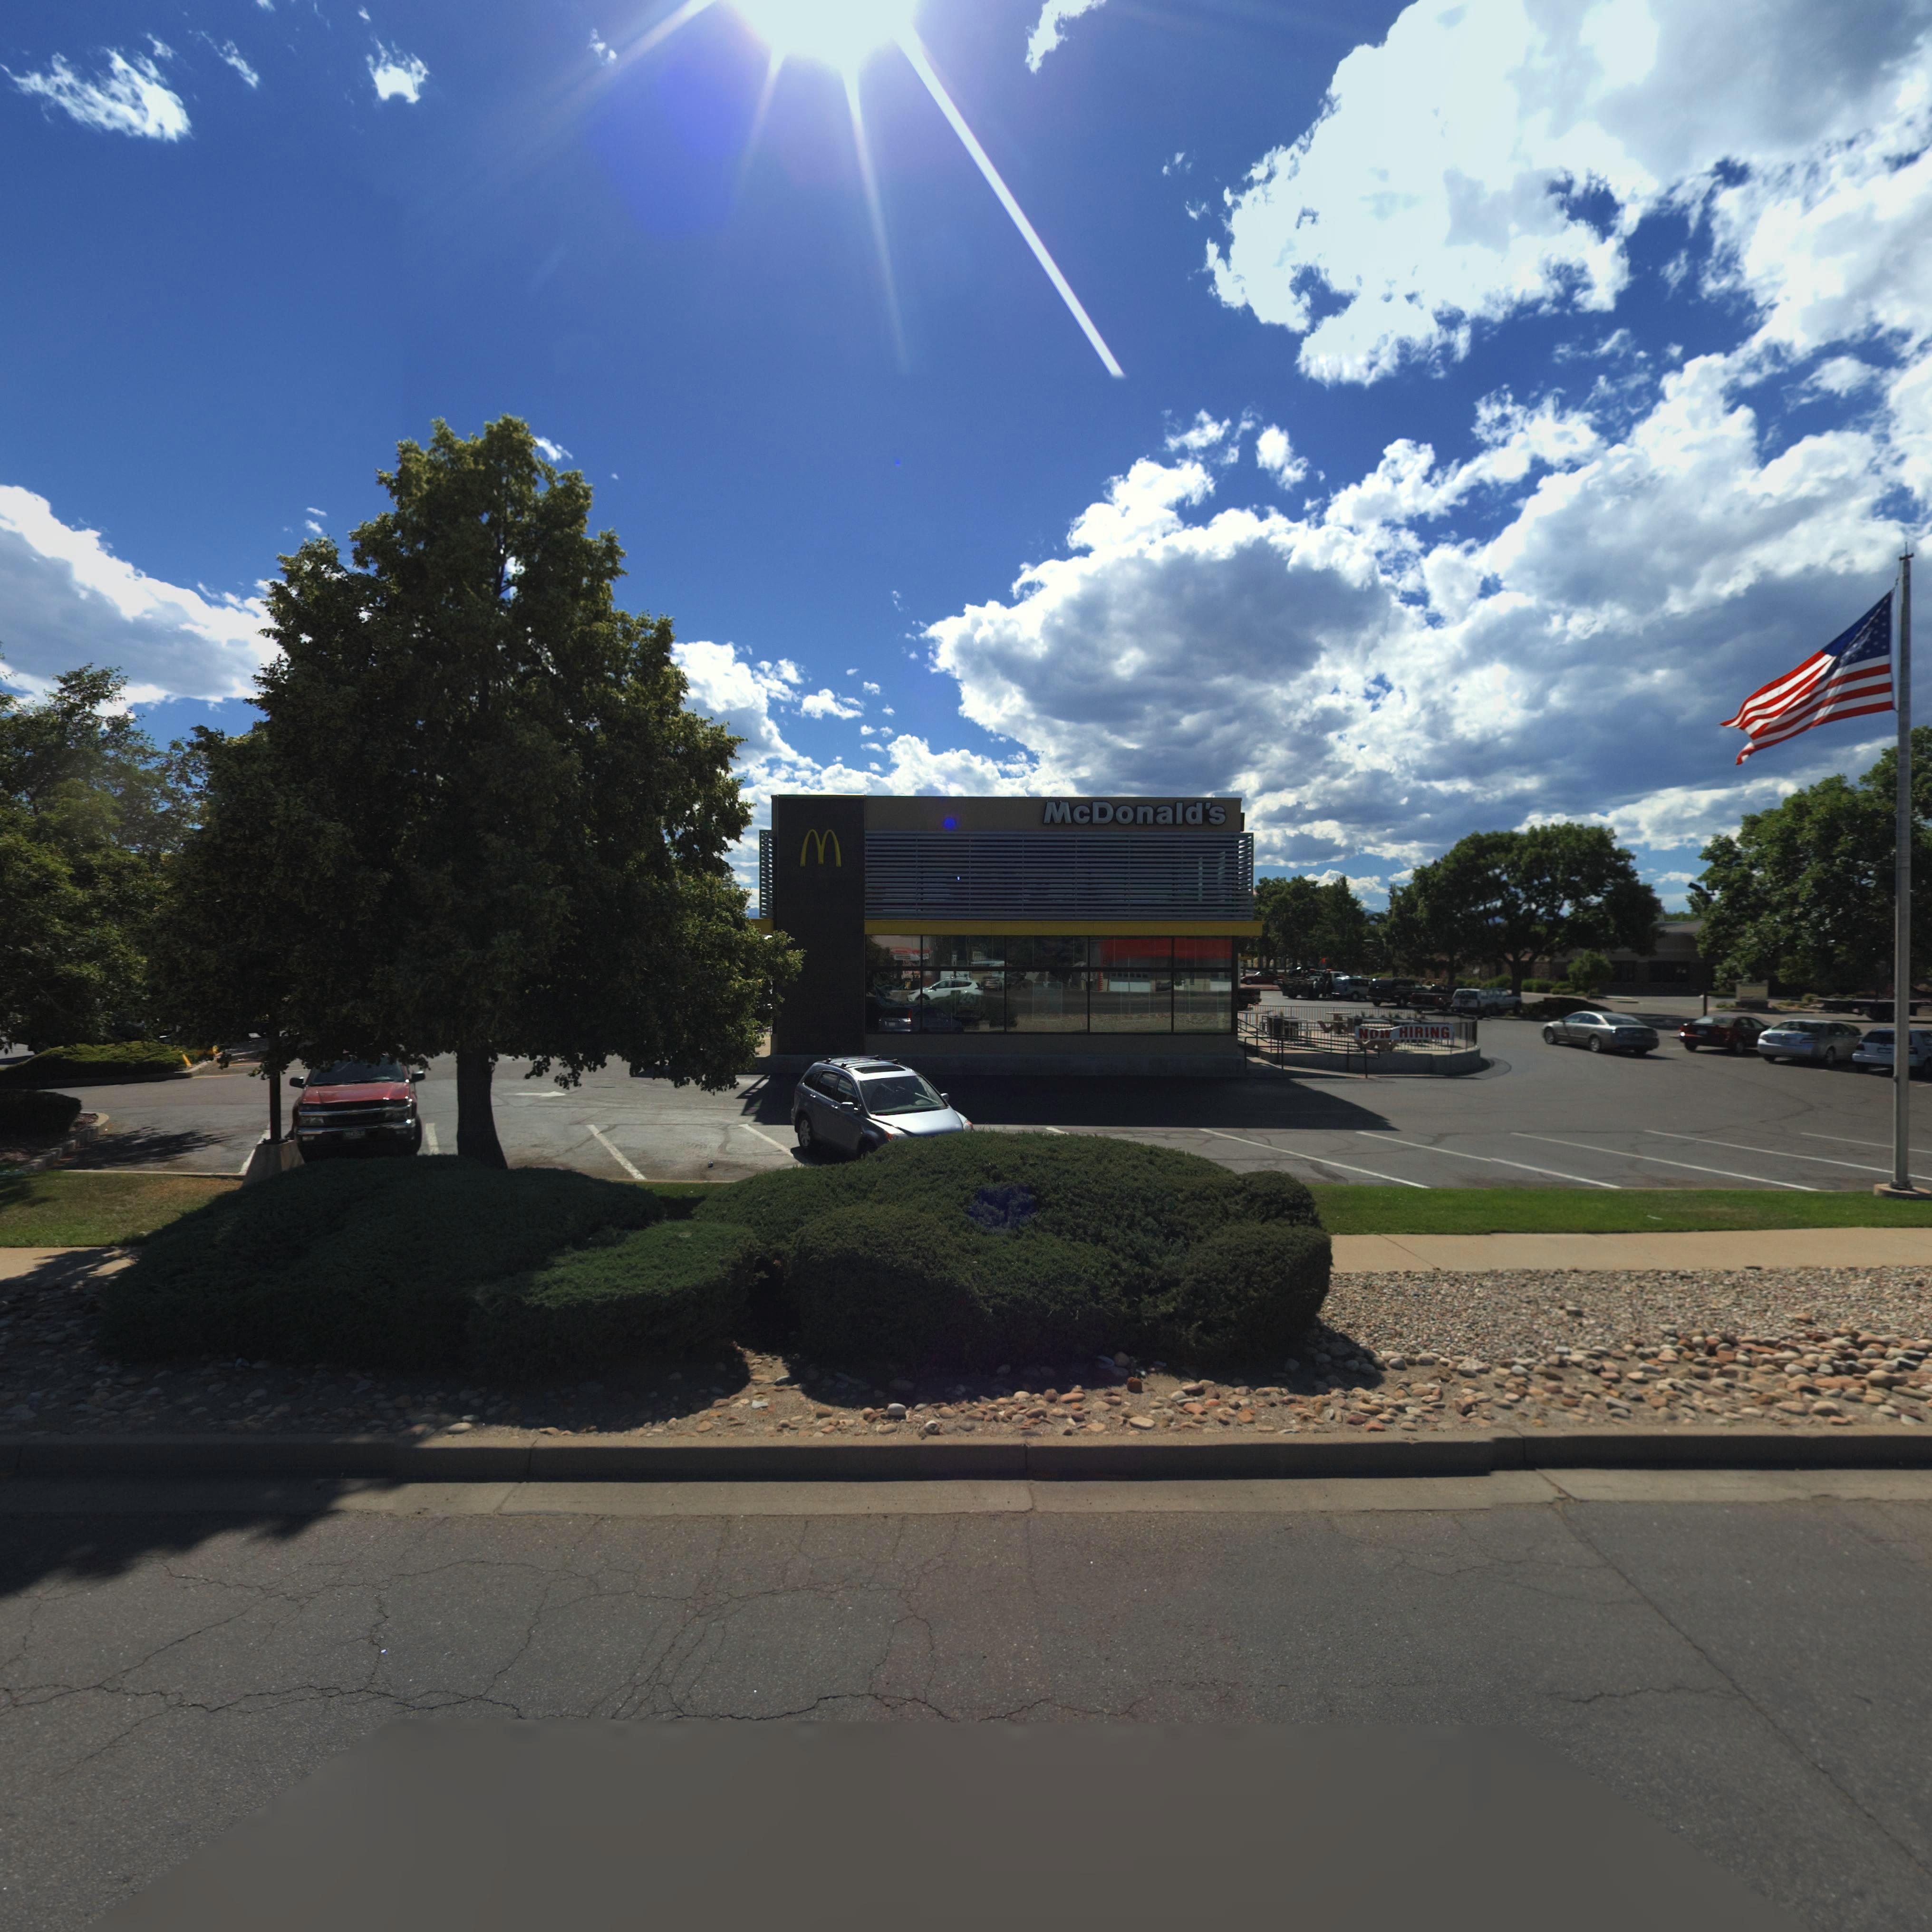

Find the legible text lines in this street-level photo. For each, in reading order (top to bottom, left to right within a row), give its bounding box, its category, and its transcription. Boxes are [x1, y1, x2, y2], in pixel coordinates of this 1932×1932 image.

[1041, 800, 1227, 826] BusinessName: McDonald's